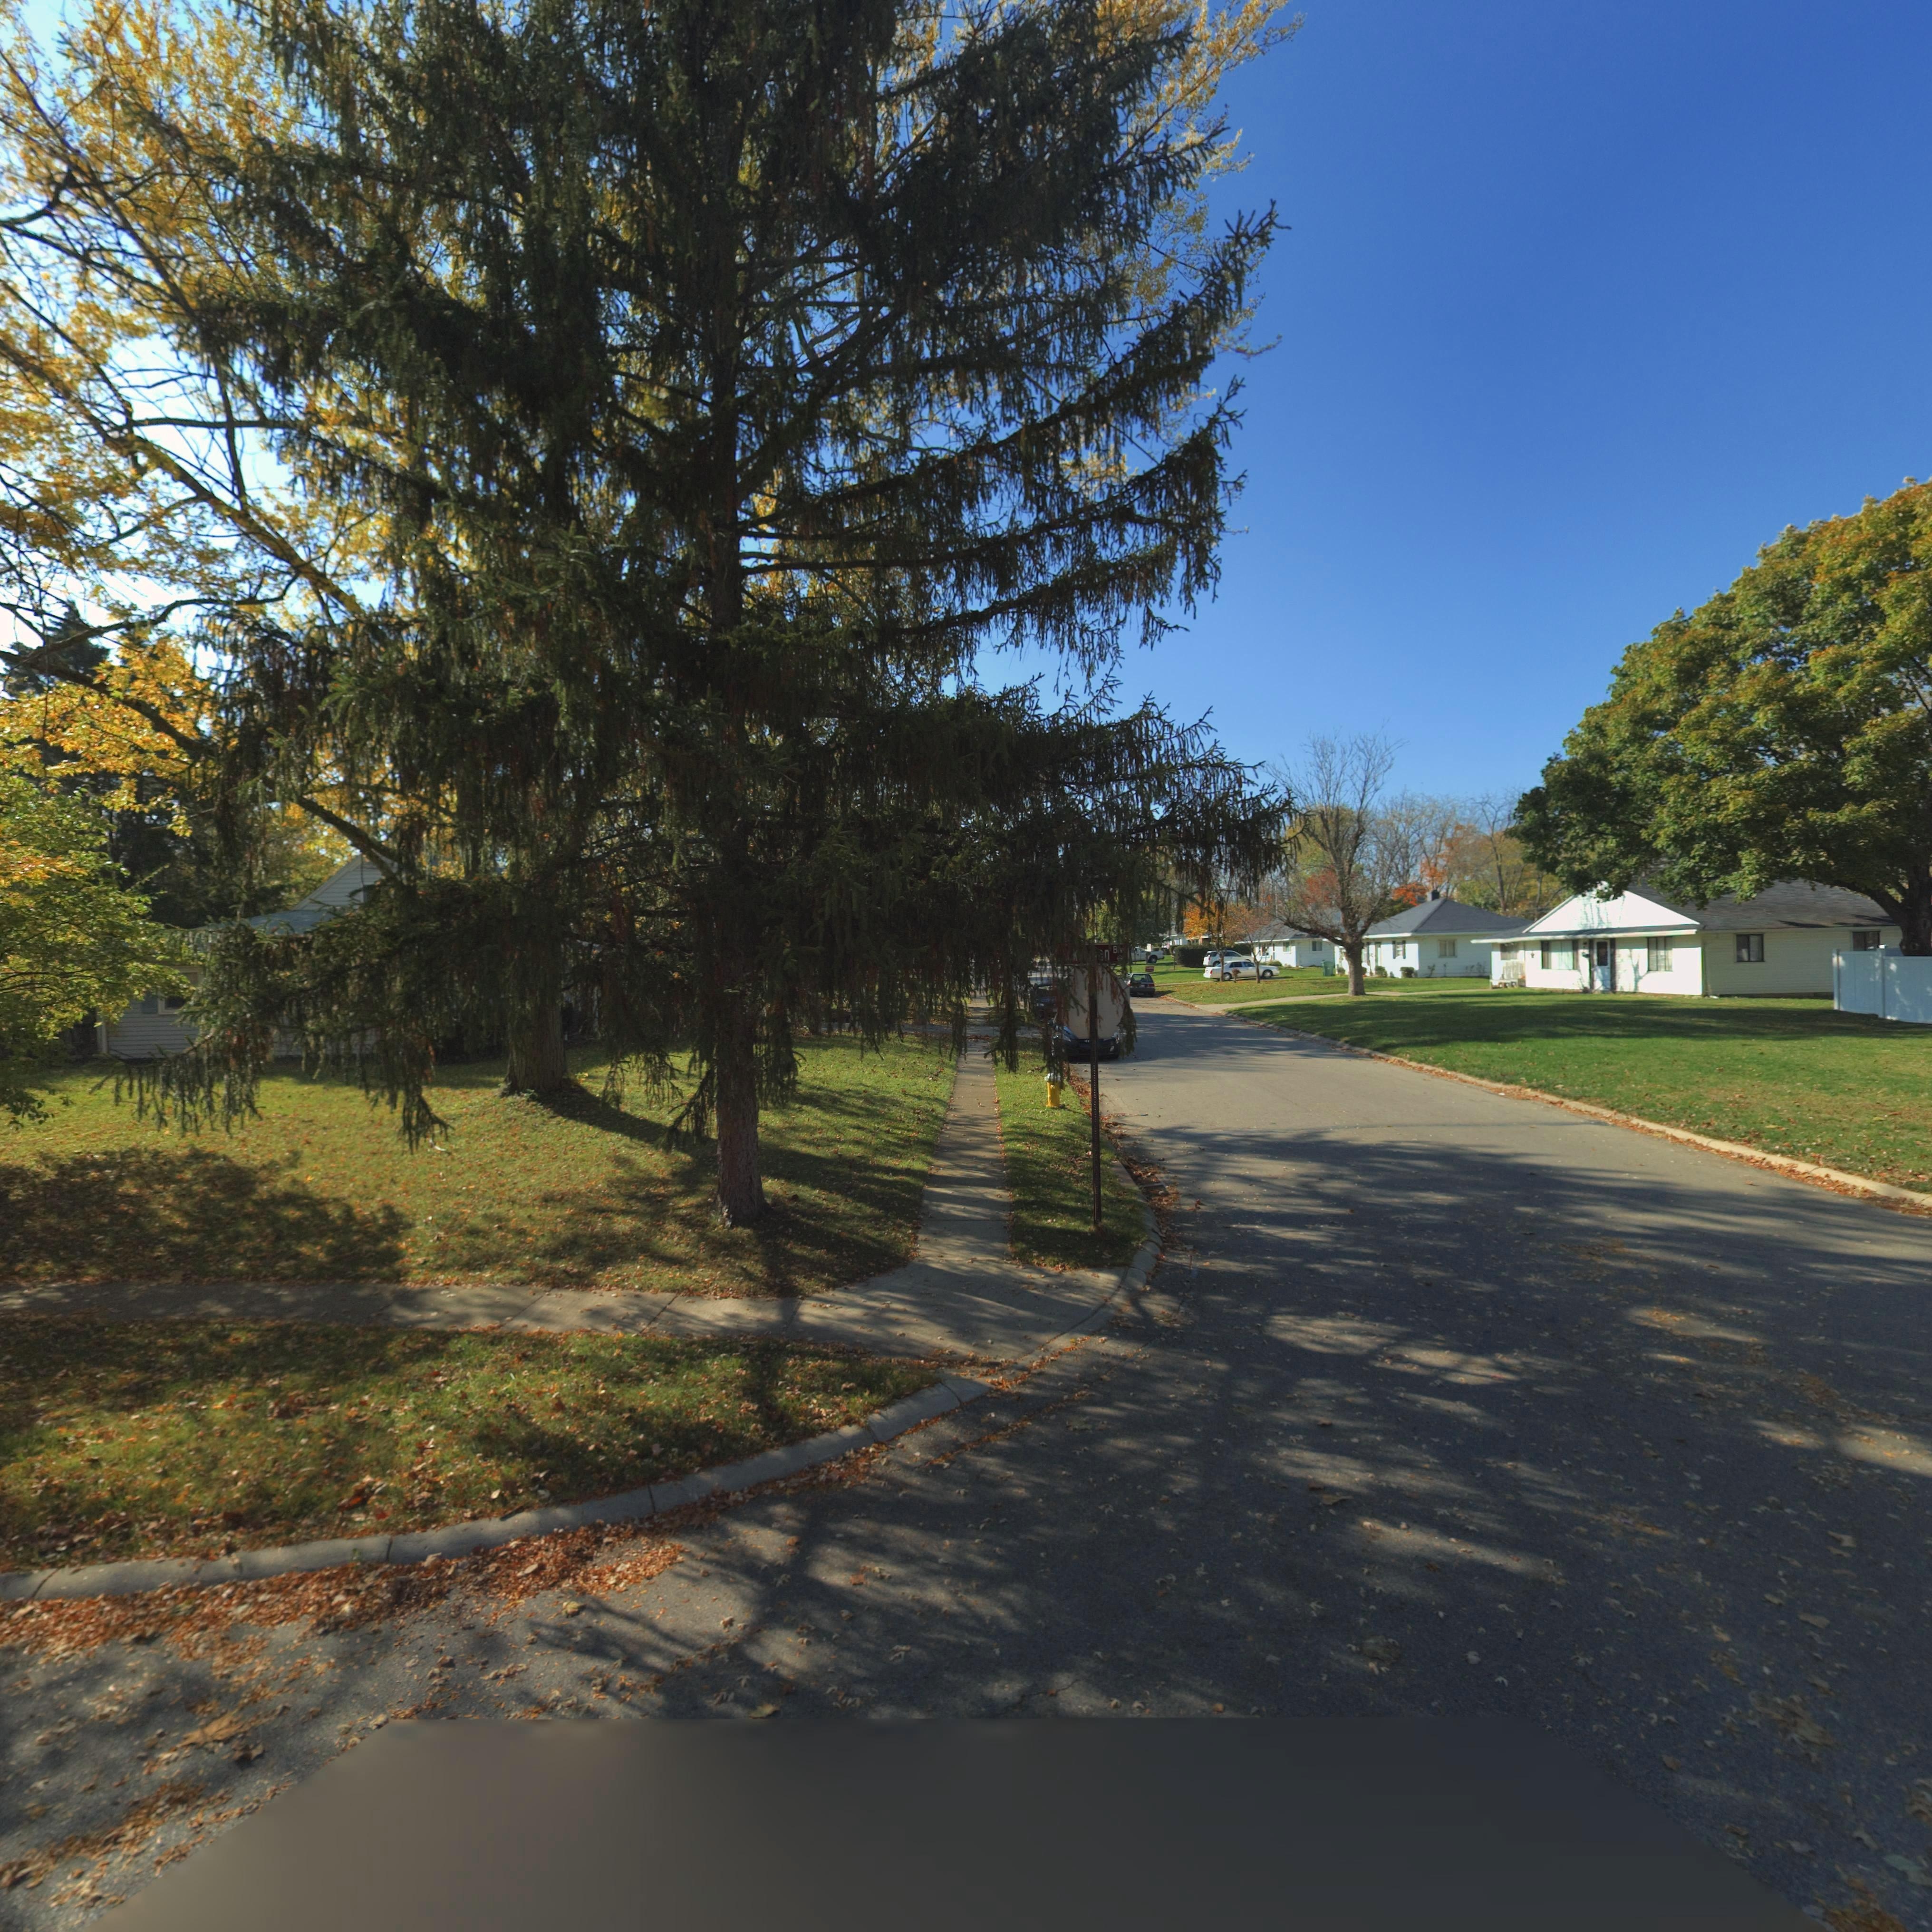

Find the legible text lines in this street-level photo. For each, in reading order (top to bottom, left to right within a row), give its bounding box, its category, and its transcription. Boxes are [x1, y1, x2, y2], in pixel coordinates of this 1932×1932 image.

[1103, 945, 1118, 961] StreetName: n B